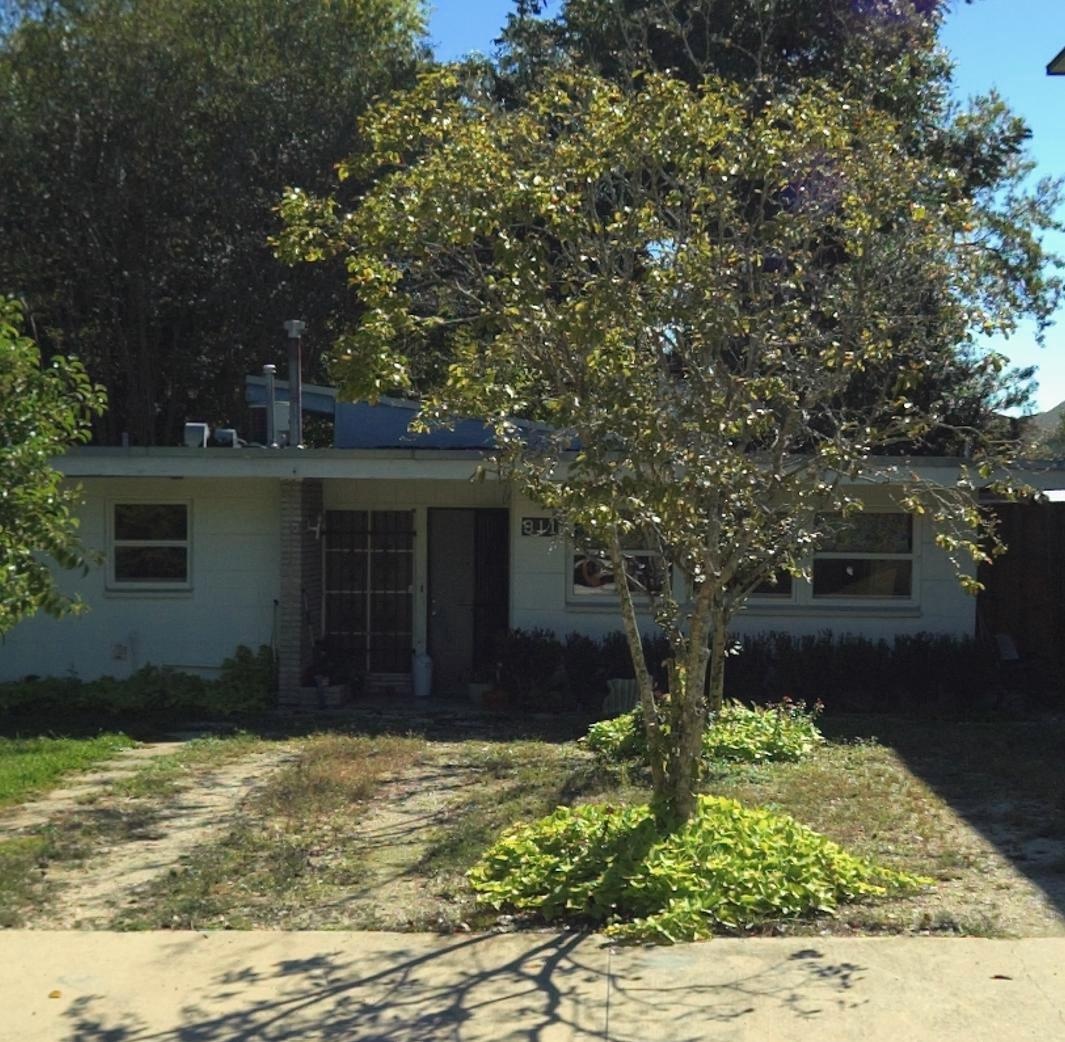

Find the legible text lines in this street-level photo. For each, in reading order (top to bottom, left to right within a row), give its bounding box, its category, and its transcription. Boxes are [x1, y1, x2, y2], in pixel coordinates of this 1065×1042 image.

[522, 517, 557, 536] StreetNumber: *11